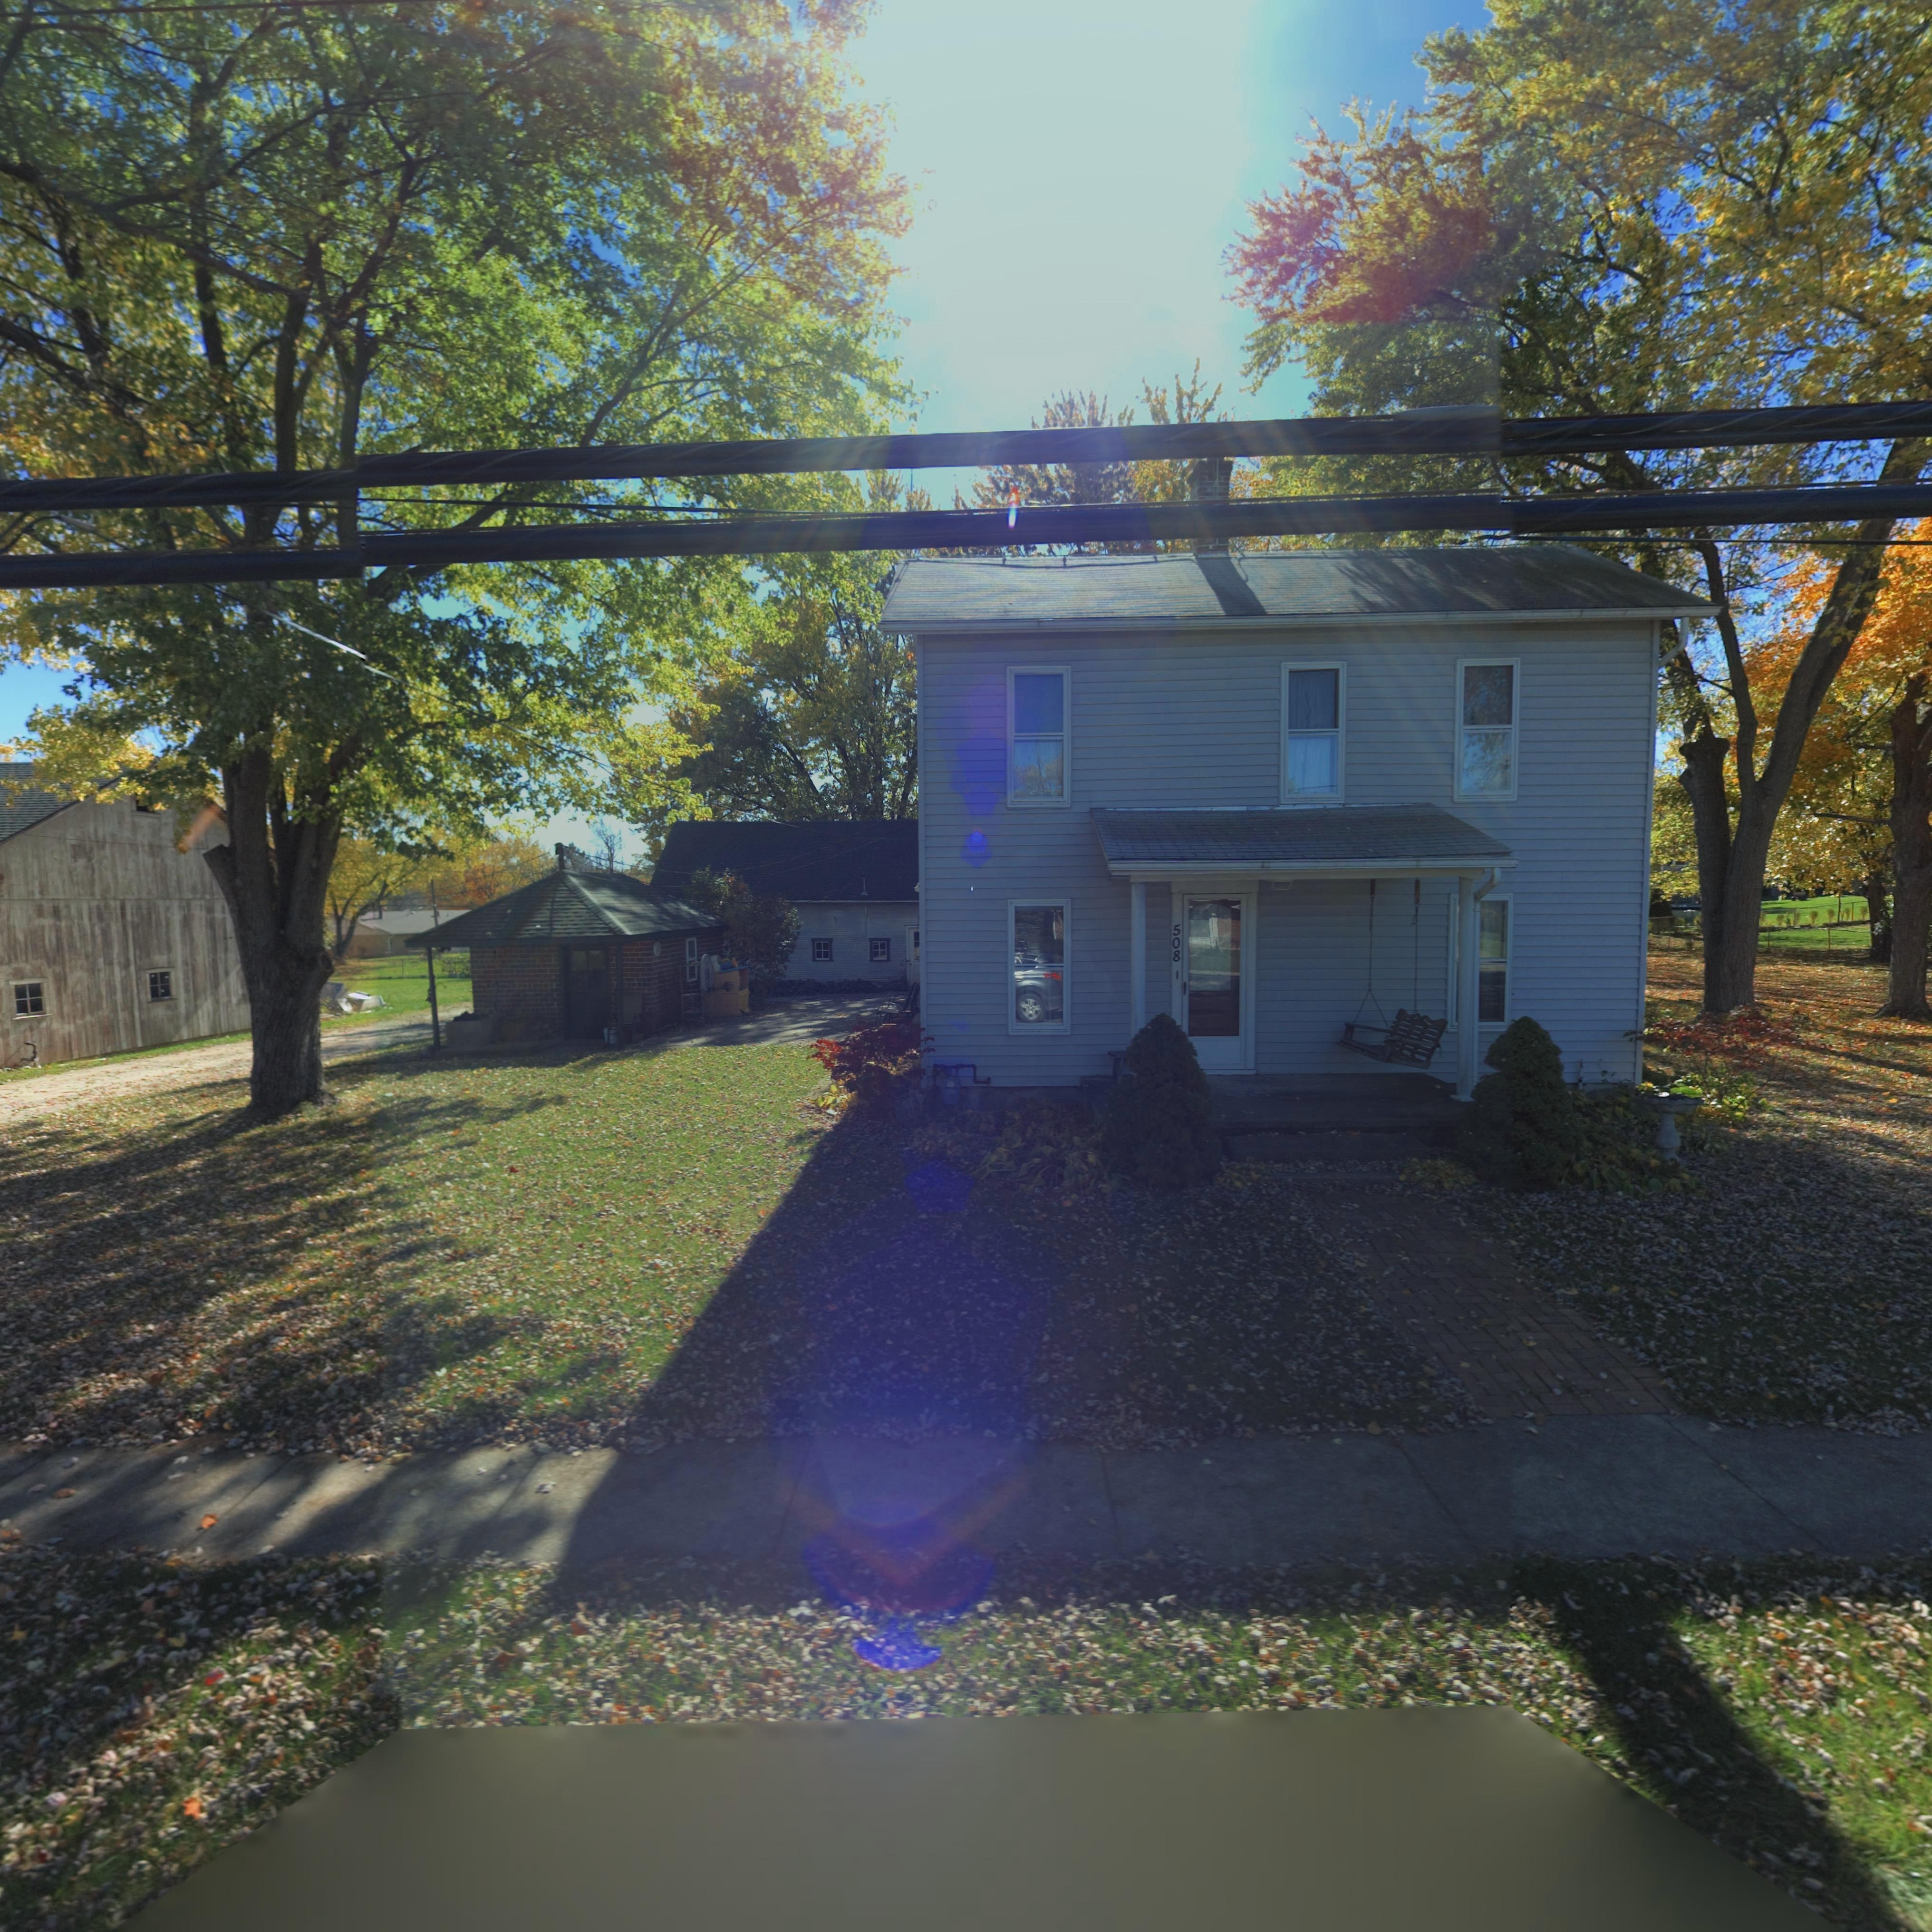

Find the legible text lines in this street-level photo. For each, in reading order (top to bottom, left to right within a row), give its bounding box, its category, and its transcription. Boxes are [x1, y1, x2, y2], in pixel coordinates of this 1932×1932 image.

[1172, 922, 1182, 964] StreetNumber: 508